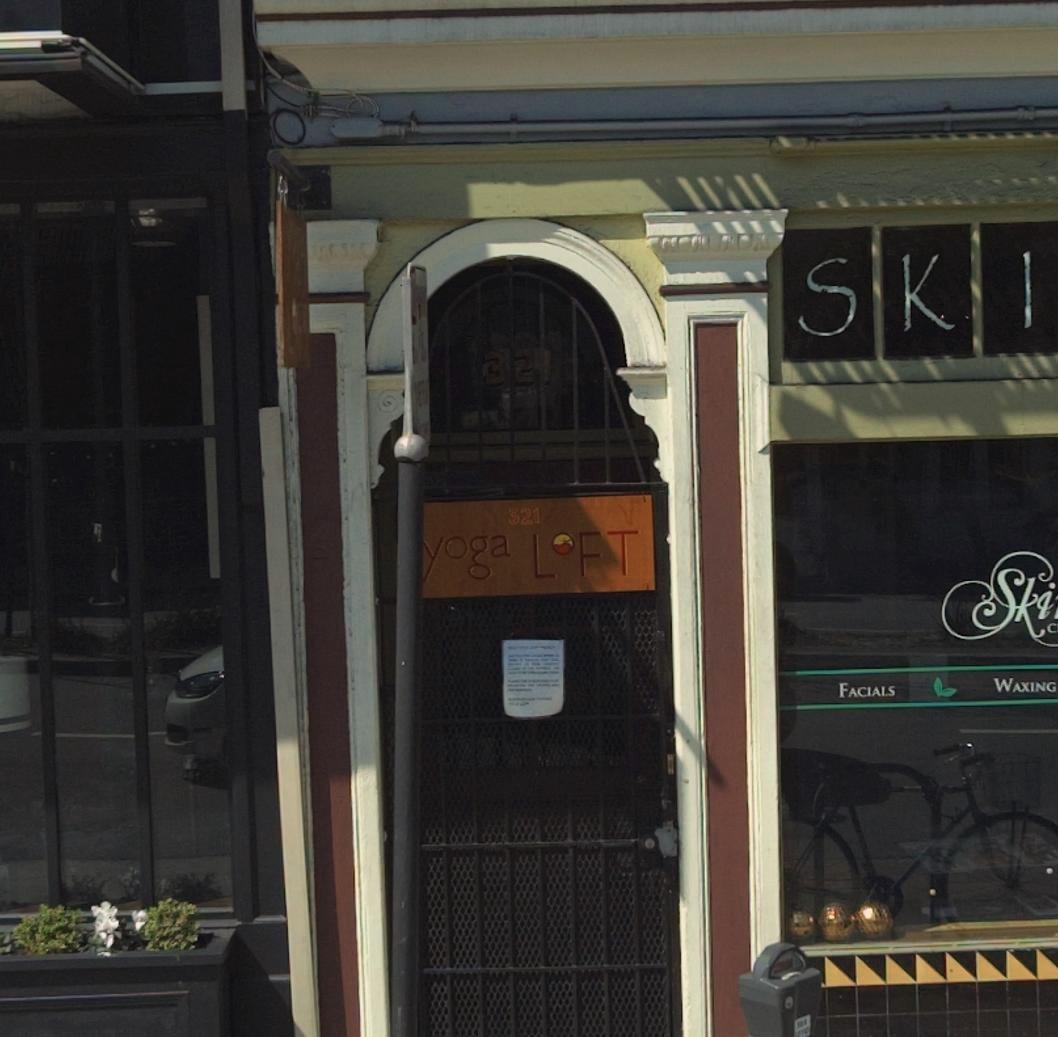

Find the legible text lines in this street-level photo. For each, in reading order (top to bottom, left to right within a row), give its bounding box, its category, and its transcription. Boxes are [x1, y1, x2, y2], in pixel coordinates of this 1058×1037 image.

[793, 244, 1044, 339] None: S*K*I
[506, 505, 542, 527] StreetNumber: 321
[423, 527, 643, 584] BusinessName: yoga LOFT
[965, 559, 1058, 633] None: Ski
[835, 680, 900, 700] None: FACIALS
[989, 675, 1056, 694] None: WAXING